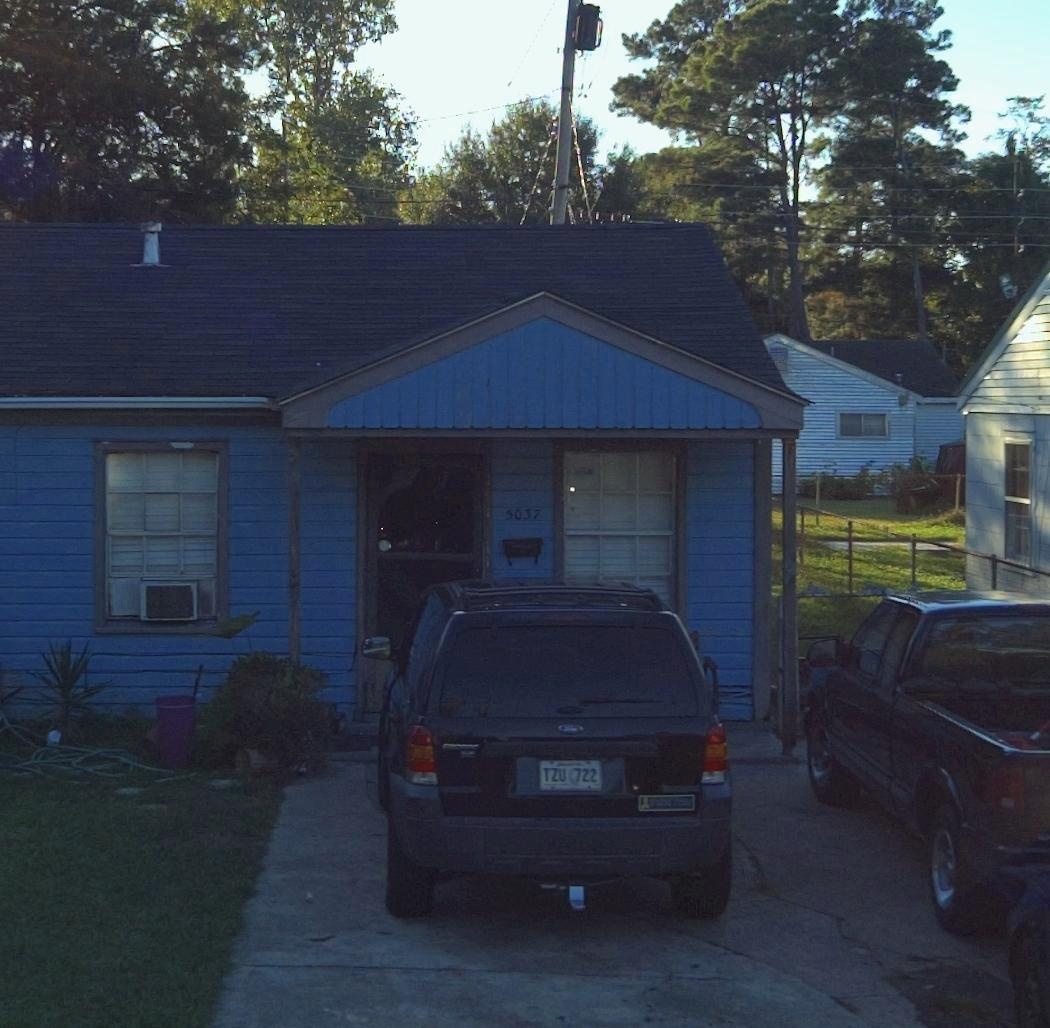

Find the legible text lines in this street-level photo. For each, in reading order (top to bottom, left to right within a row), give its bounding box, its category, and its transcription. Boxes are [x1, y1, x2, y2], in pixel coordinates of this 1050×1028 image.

[504, 508, 542, 521] StreetNumber: 5037
[541, 767, 598, 783] None: TZU 722